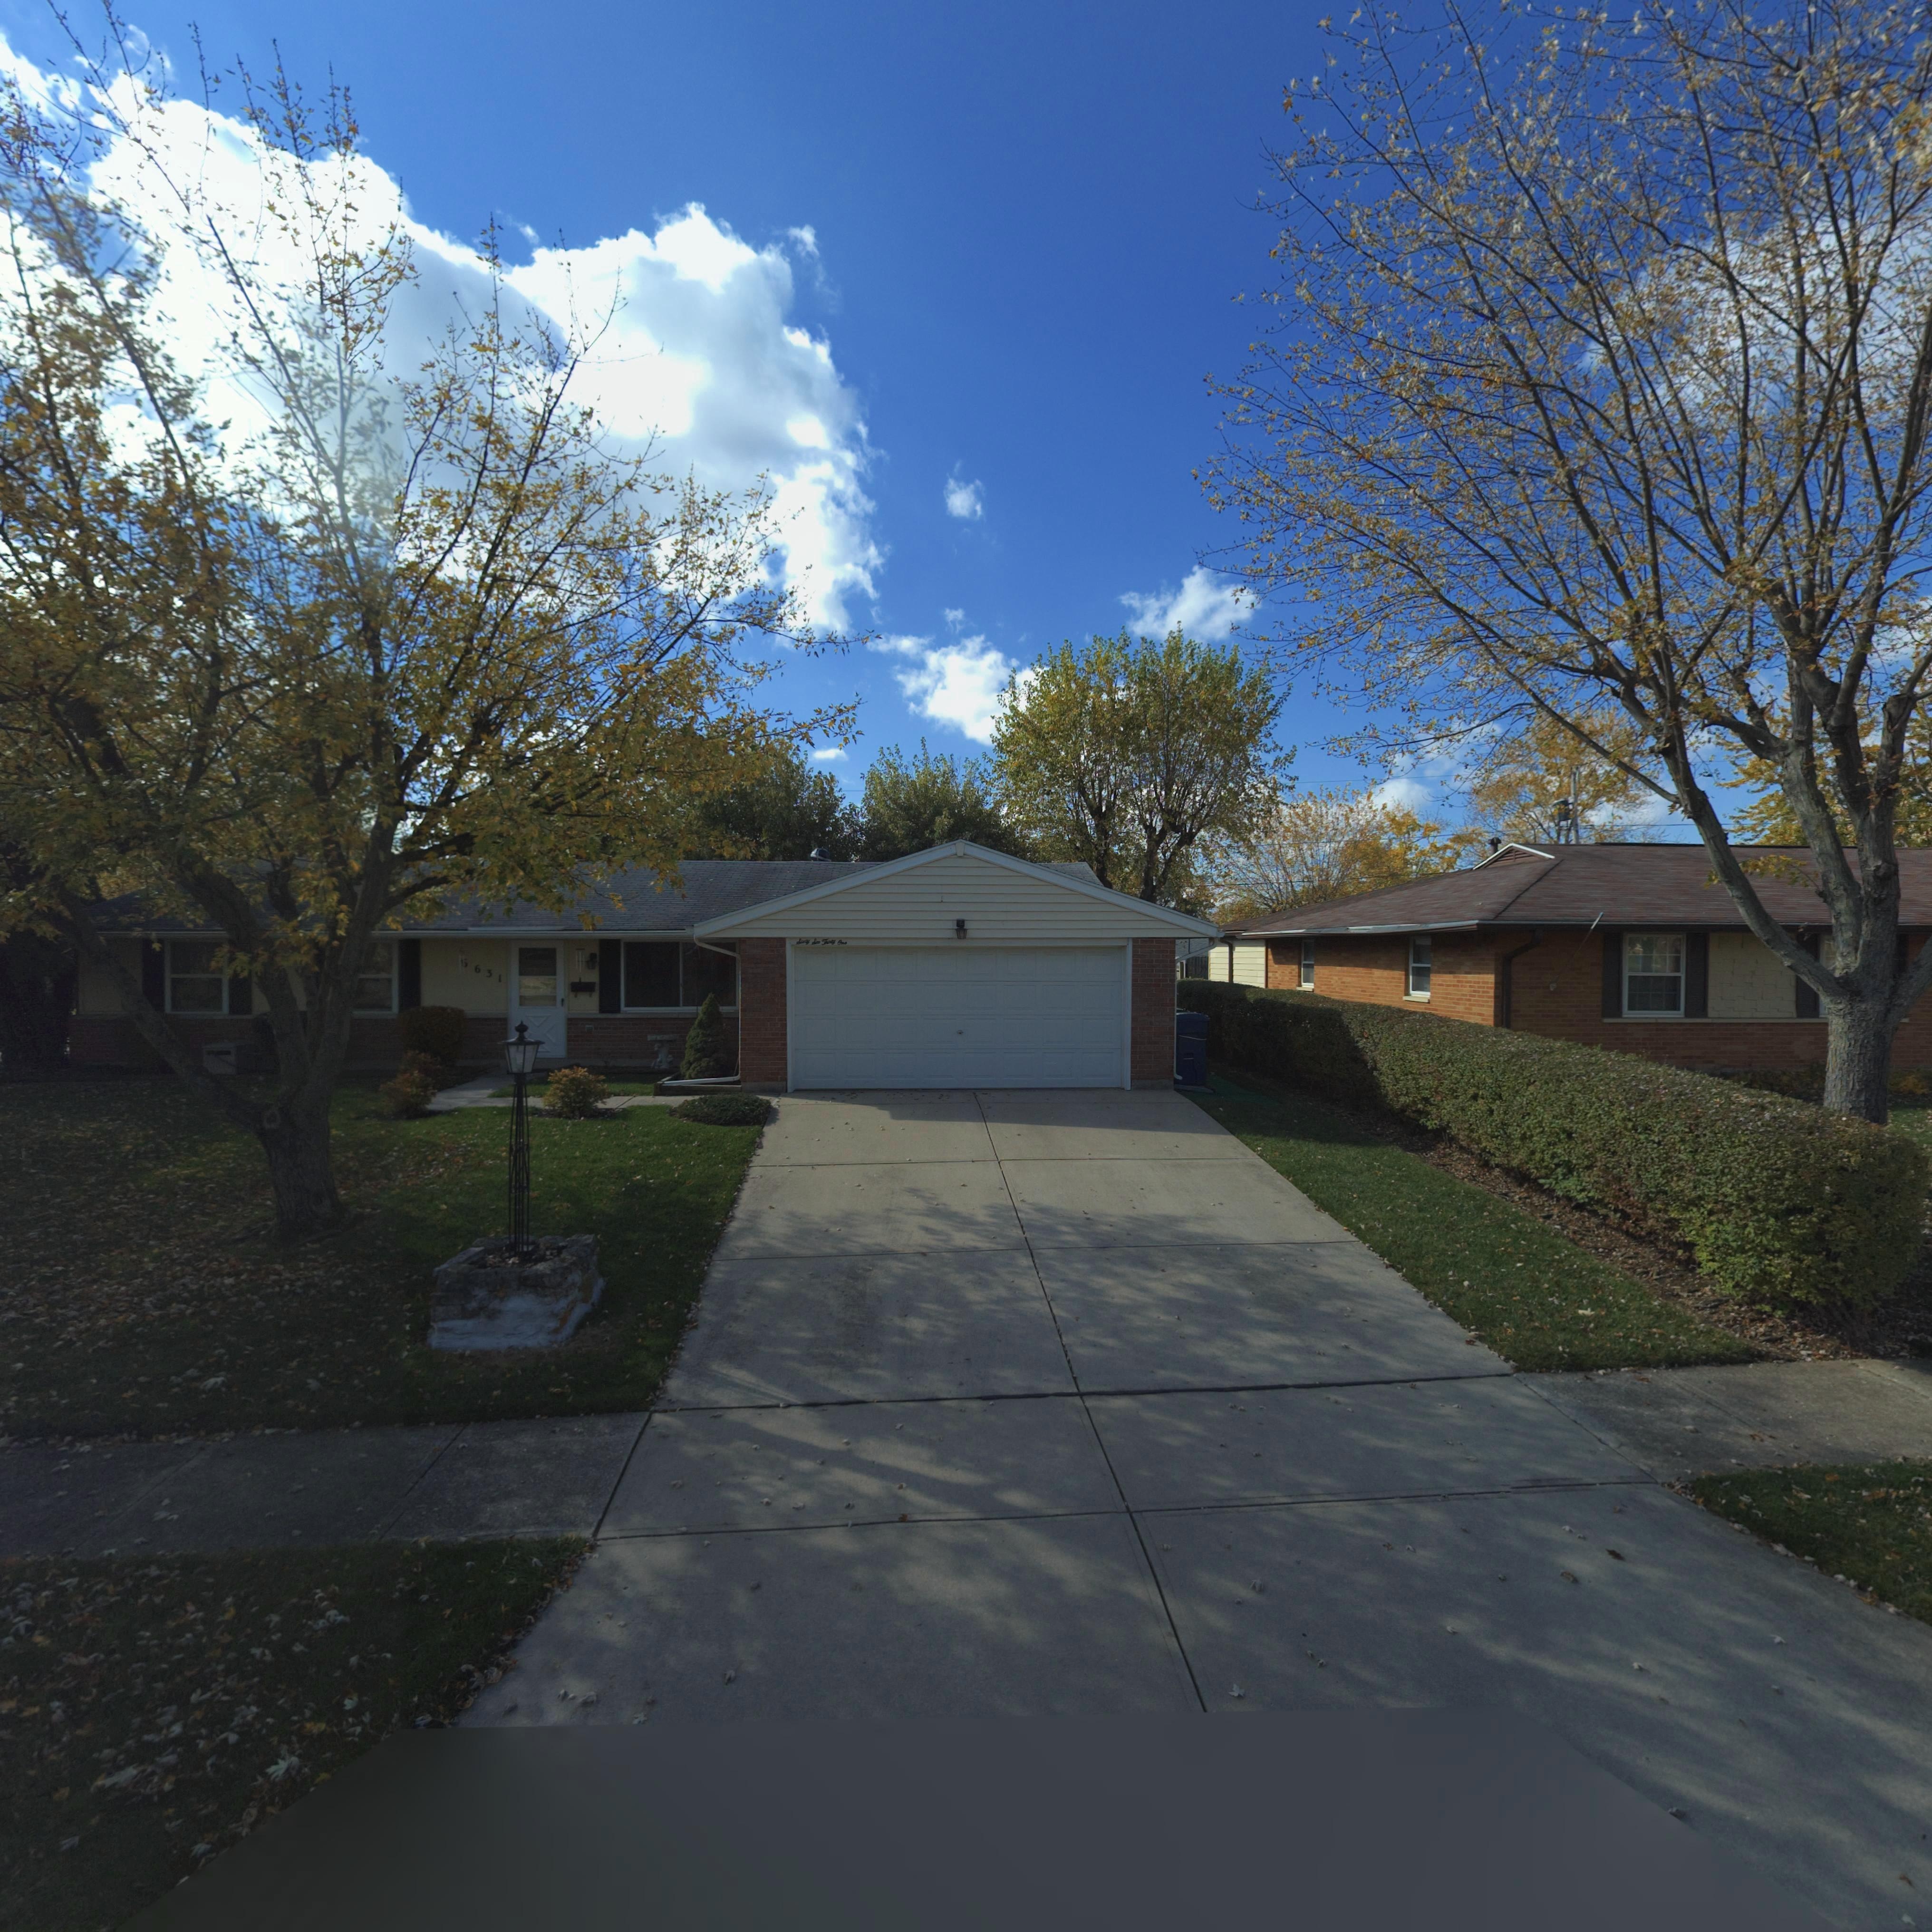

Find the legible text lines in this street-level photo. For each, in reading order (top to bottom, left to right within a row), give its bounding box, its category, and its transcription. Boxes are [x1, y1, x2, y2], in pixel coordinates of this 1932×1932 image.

[795, 938, 848, 945] StreetNumber: Sixty Six Thirty One
[460, 957, 502, 984] StreetNumber: 6631